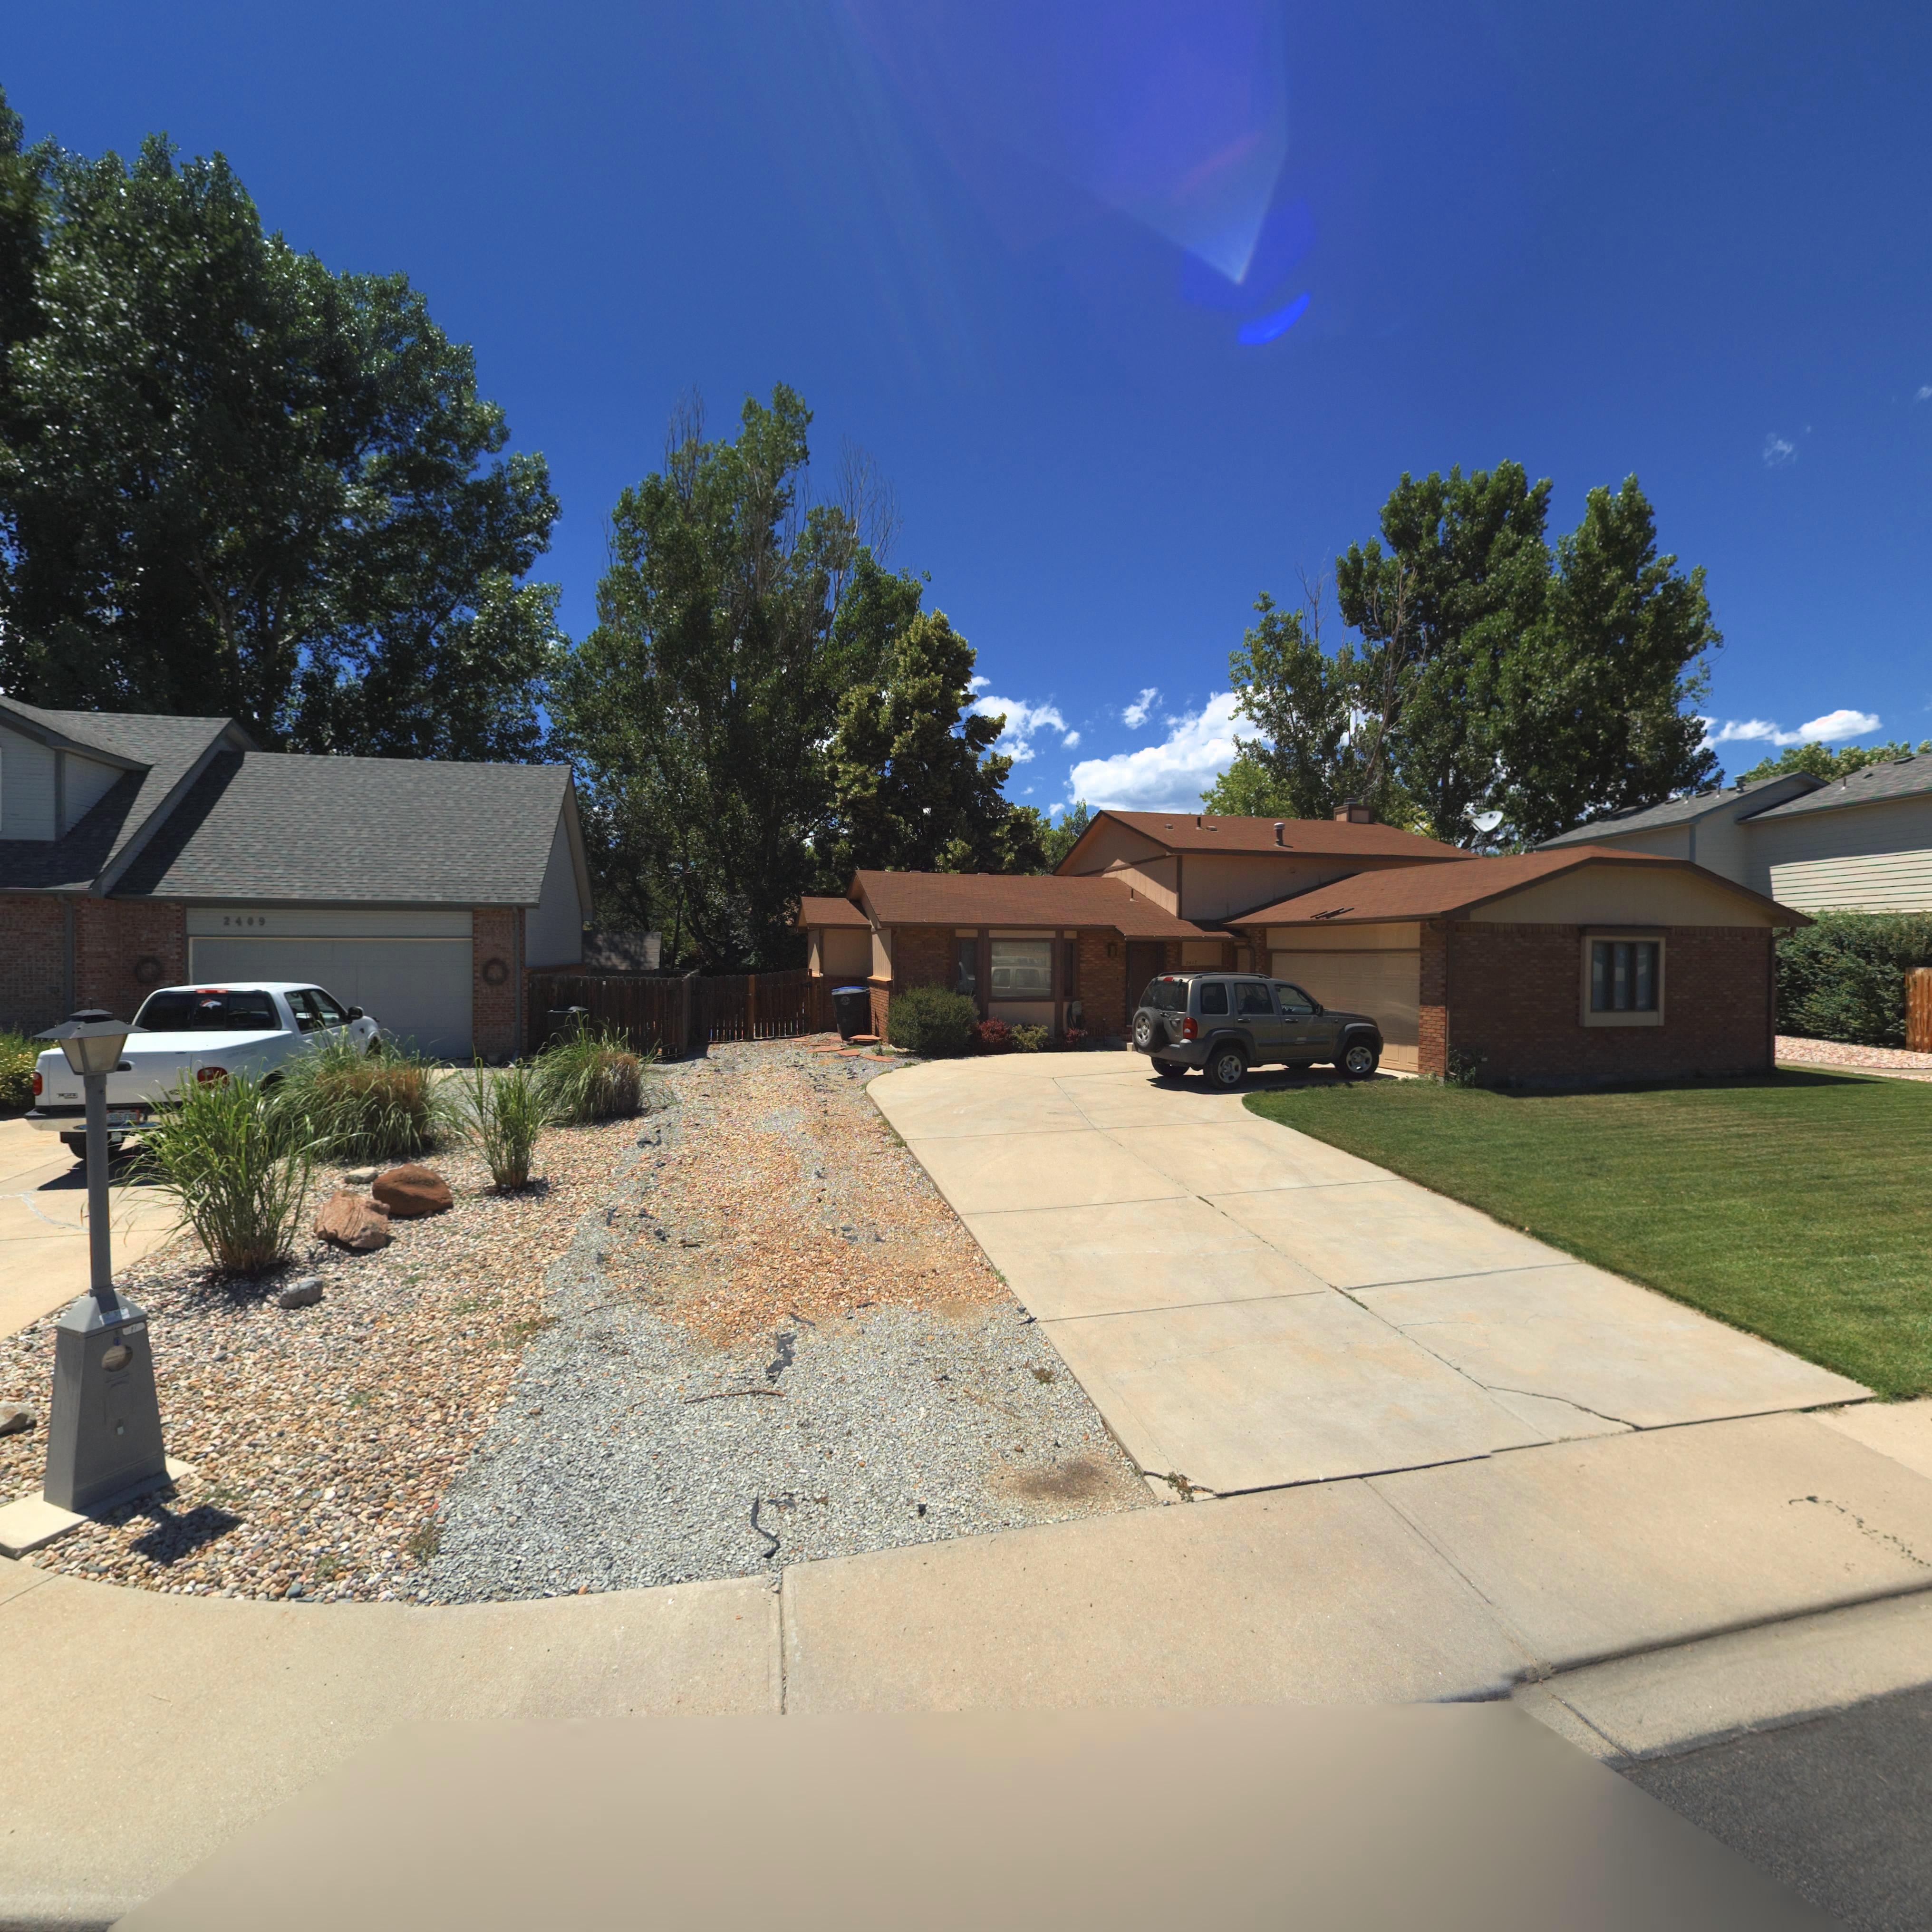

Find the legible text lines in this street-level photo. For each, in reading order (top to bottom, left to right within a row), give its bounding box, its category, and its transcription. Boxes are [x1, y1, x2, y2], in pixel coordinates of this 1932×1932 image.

[222, 916, 266, 926] StreetNumber: 2409
[1185, 960, 1197, 965] StreetNumber: 2417